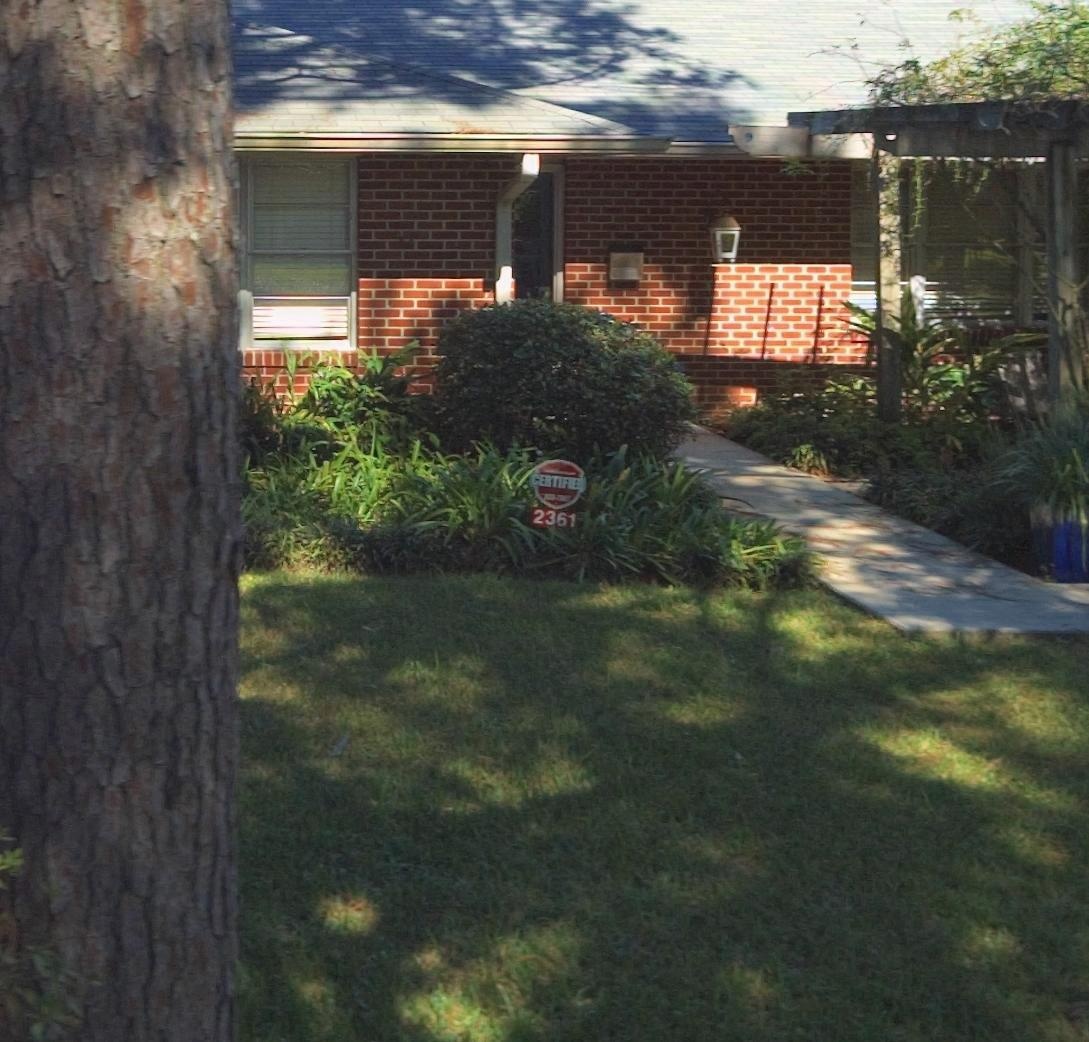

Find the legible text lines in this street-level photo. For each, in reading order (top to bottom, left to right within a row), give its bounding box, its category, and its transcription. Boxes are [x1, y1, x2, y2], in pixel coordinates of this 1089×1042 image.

[530, 471, 574, 491] None: CERTIFI
[531, 506, 579, 530] StreetNumber: 2361